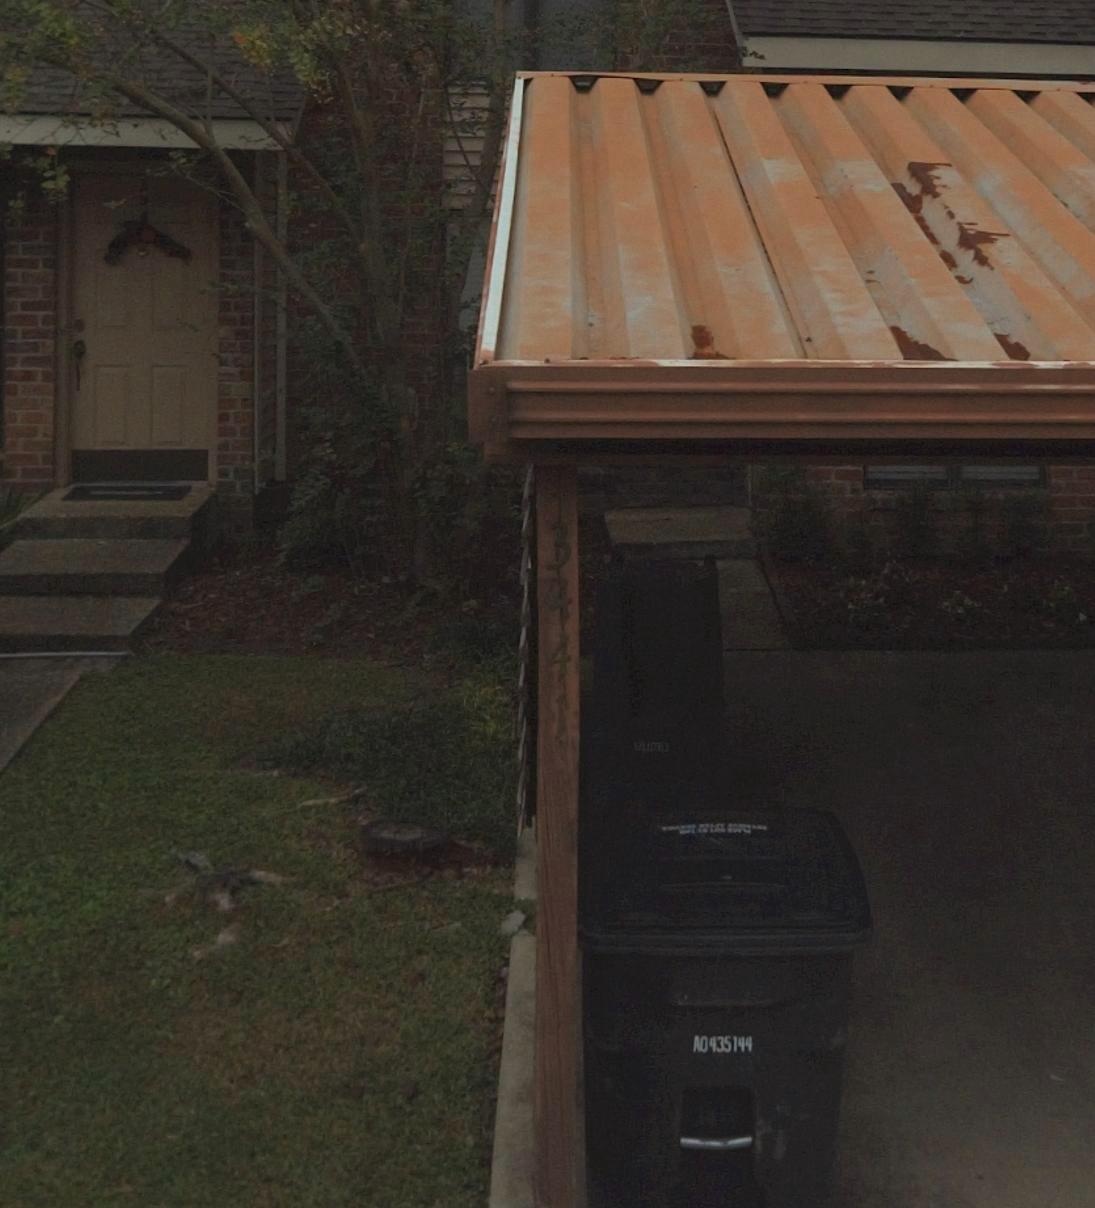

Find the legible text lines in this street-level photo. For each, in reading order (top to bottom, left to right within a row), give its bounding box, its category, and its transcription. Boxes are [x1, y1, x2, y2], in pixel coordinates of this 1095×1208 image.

[539, 522, 576, 742] StreetNumber: 3441